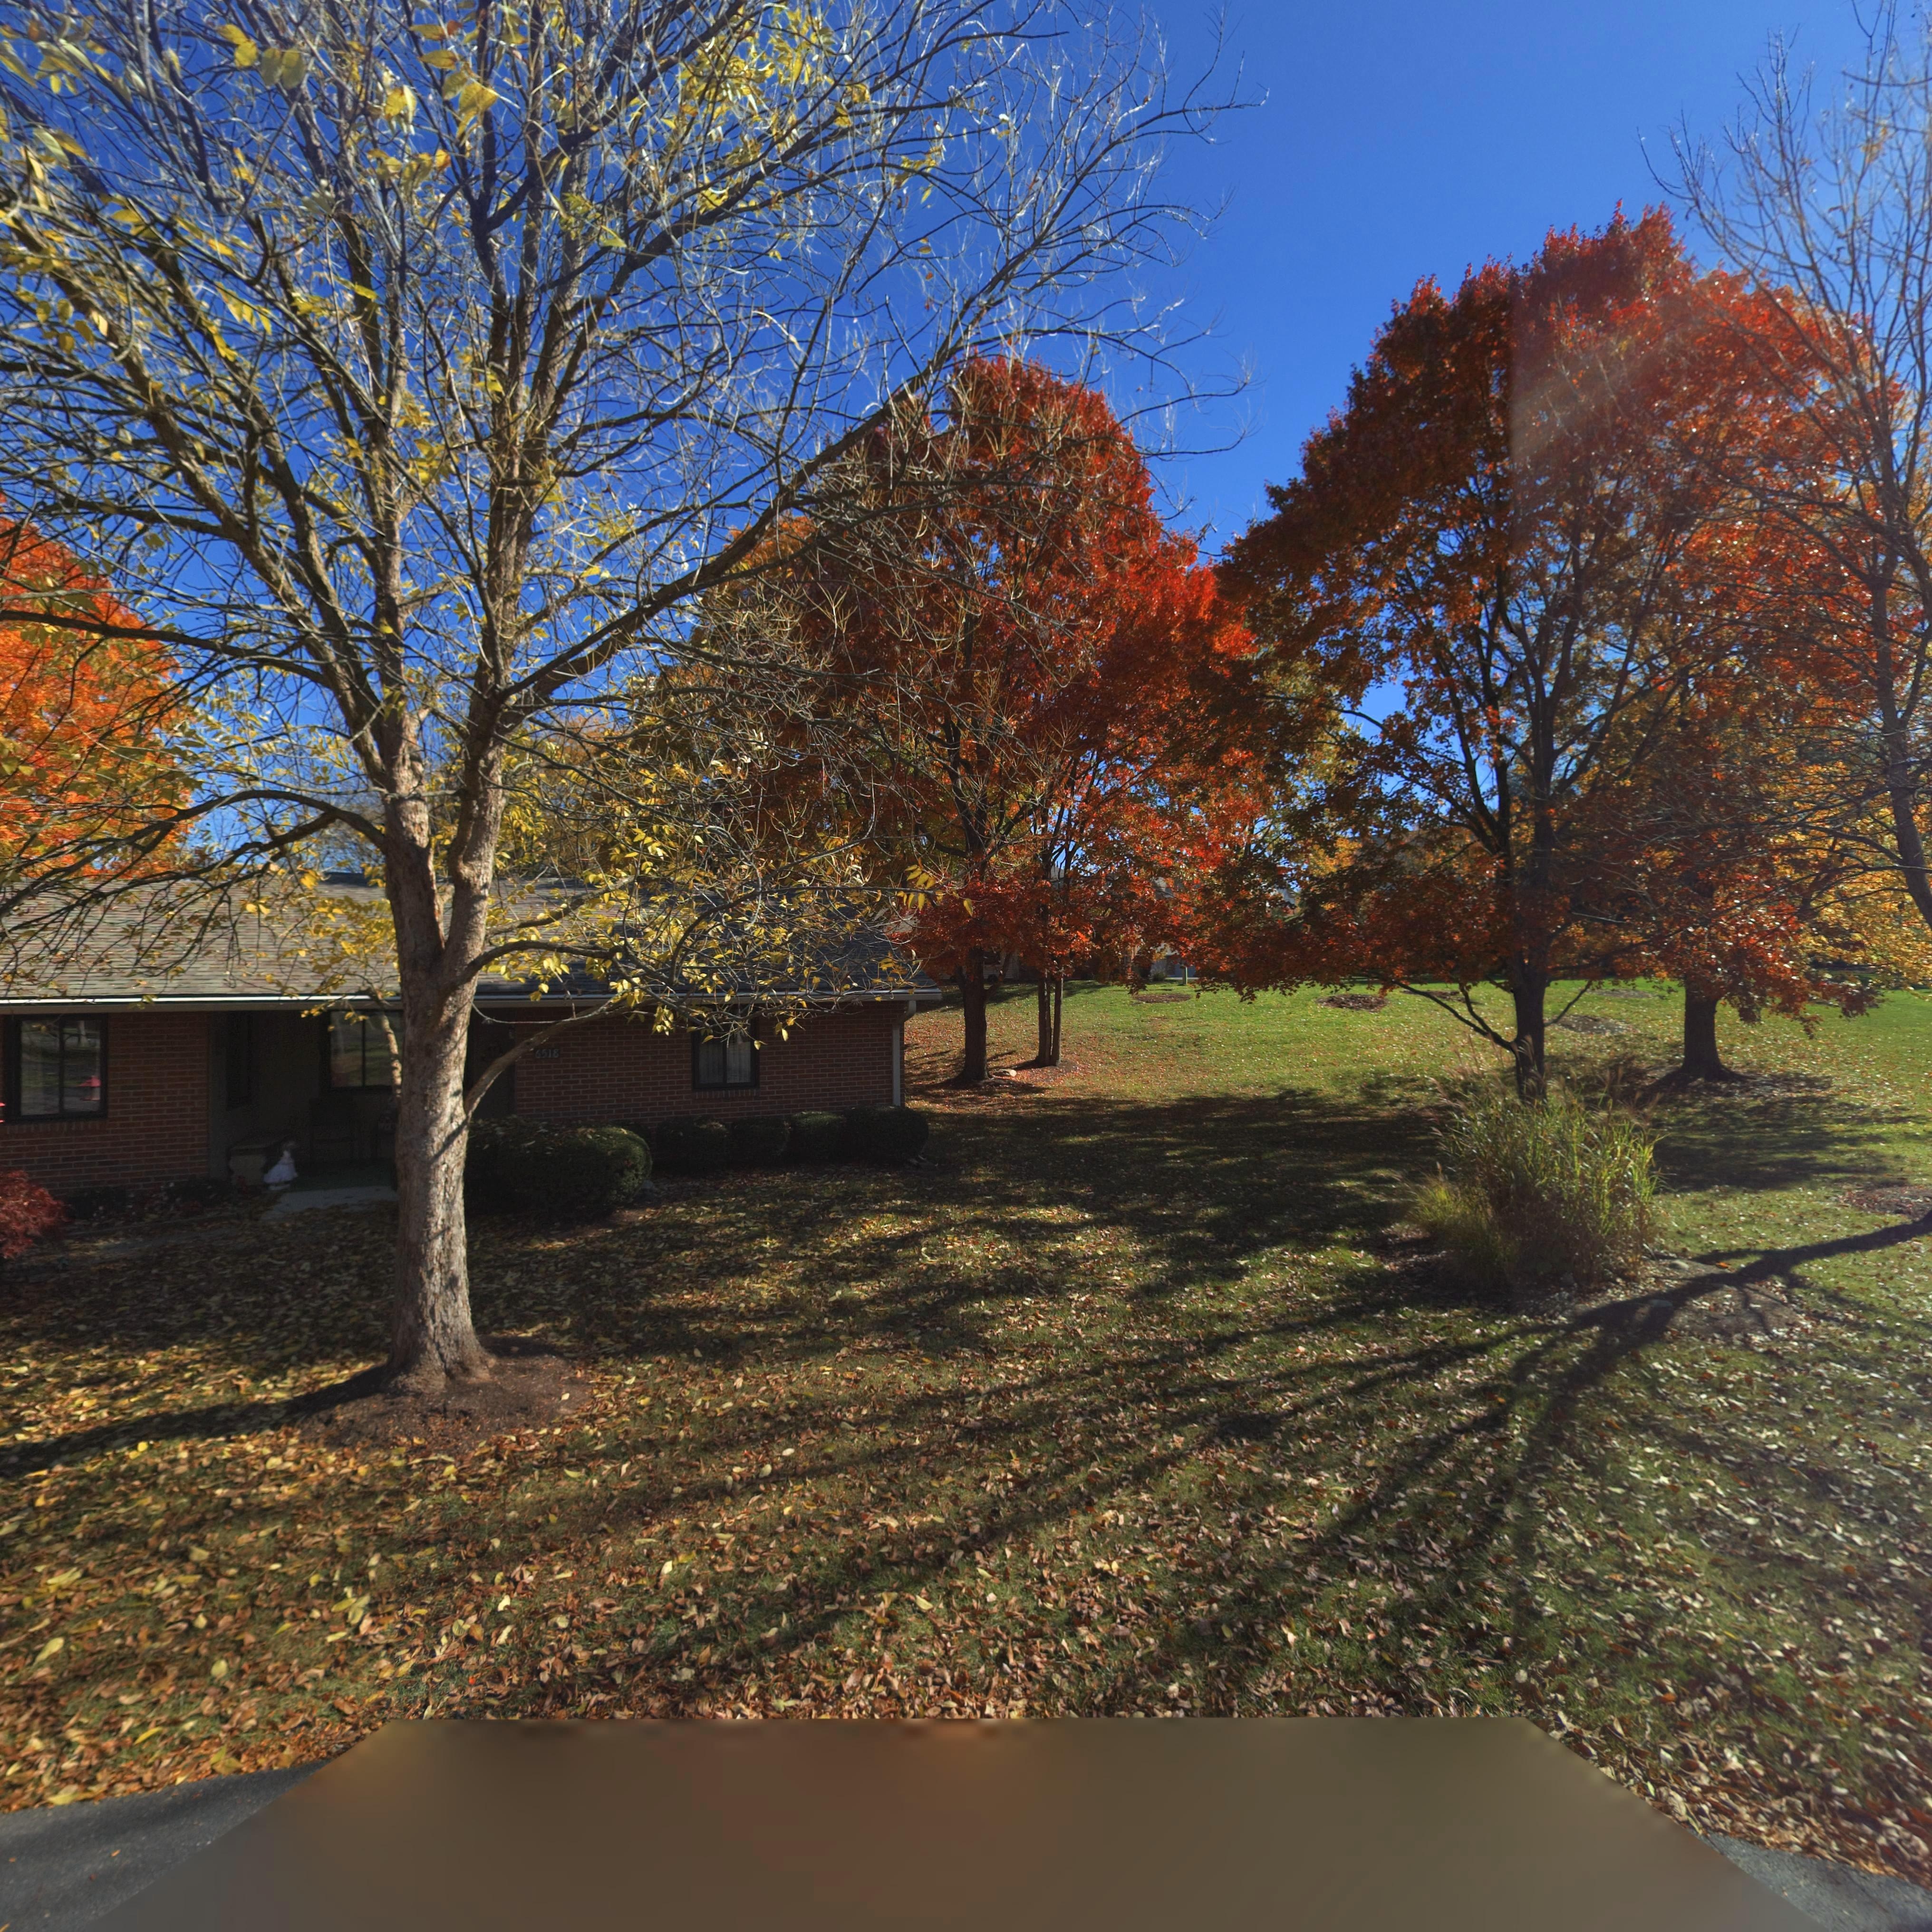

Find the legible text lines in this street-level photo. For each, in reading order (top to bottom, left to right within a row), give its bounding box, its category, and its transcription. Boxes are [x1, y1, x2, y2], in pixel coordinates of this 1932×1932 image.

[534, 1047, 560, 1060] StreetNumber: 6518